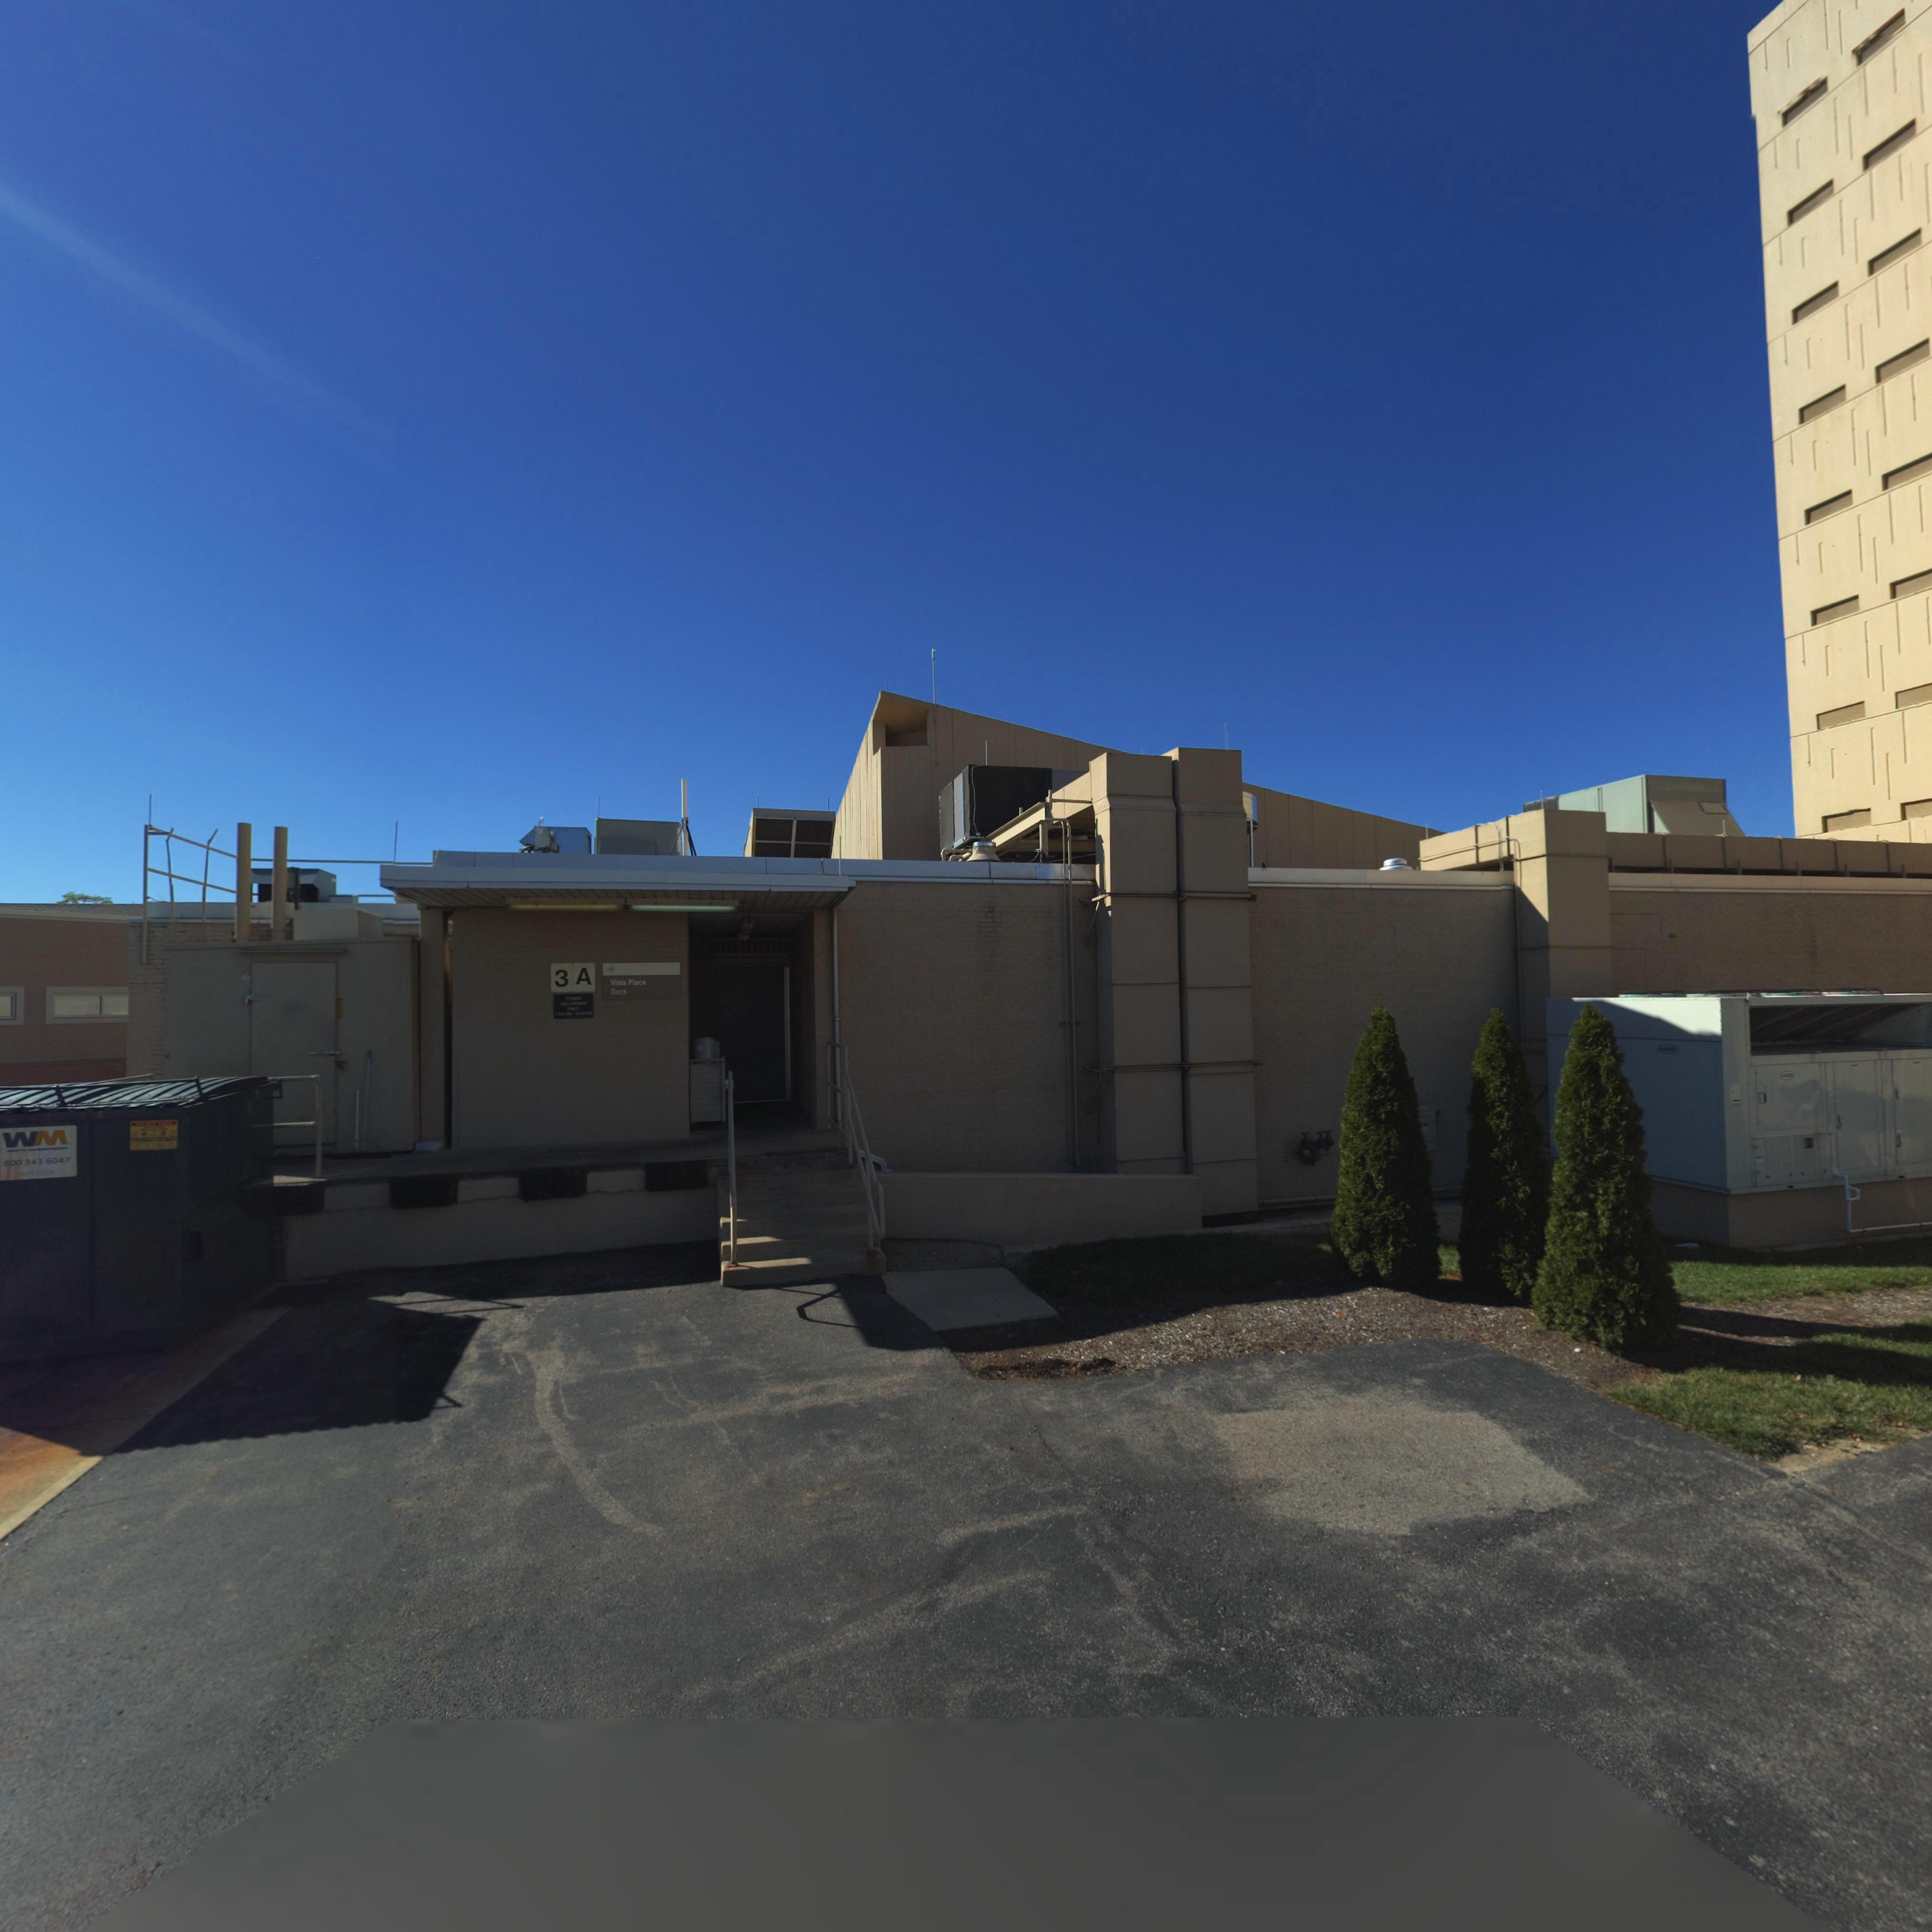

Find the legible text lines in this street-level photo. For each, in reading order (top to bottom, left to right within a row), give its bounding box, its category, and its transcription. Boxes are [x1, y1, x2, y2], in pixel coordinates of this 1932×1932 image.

[553, 966, 594, 989] StreetNumber: 3 A
[609, 979, 647, 986] None: Vista Place
[610, 988, 628, 996] None: Dock
[1, 1129, 69, 1149] None: WM
[3, 1156, 72, 1168] None: 800 343 60*7